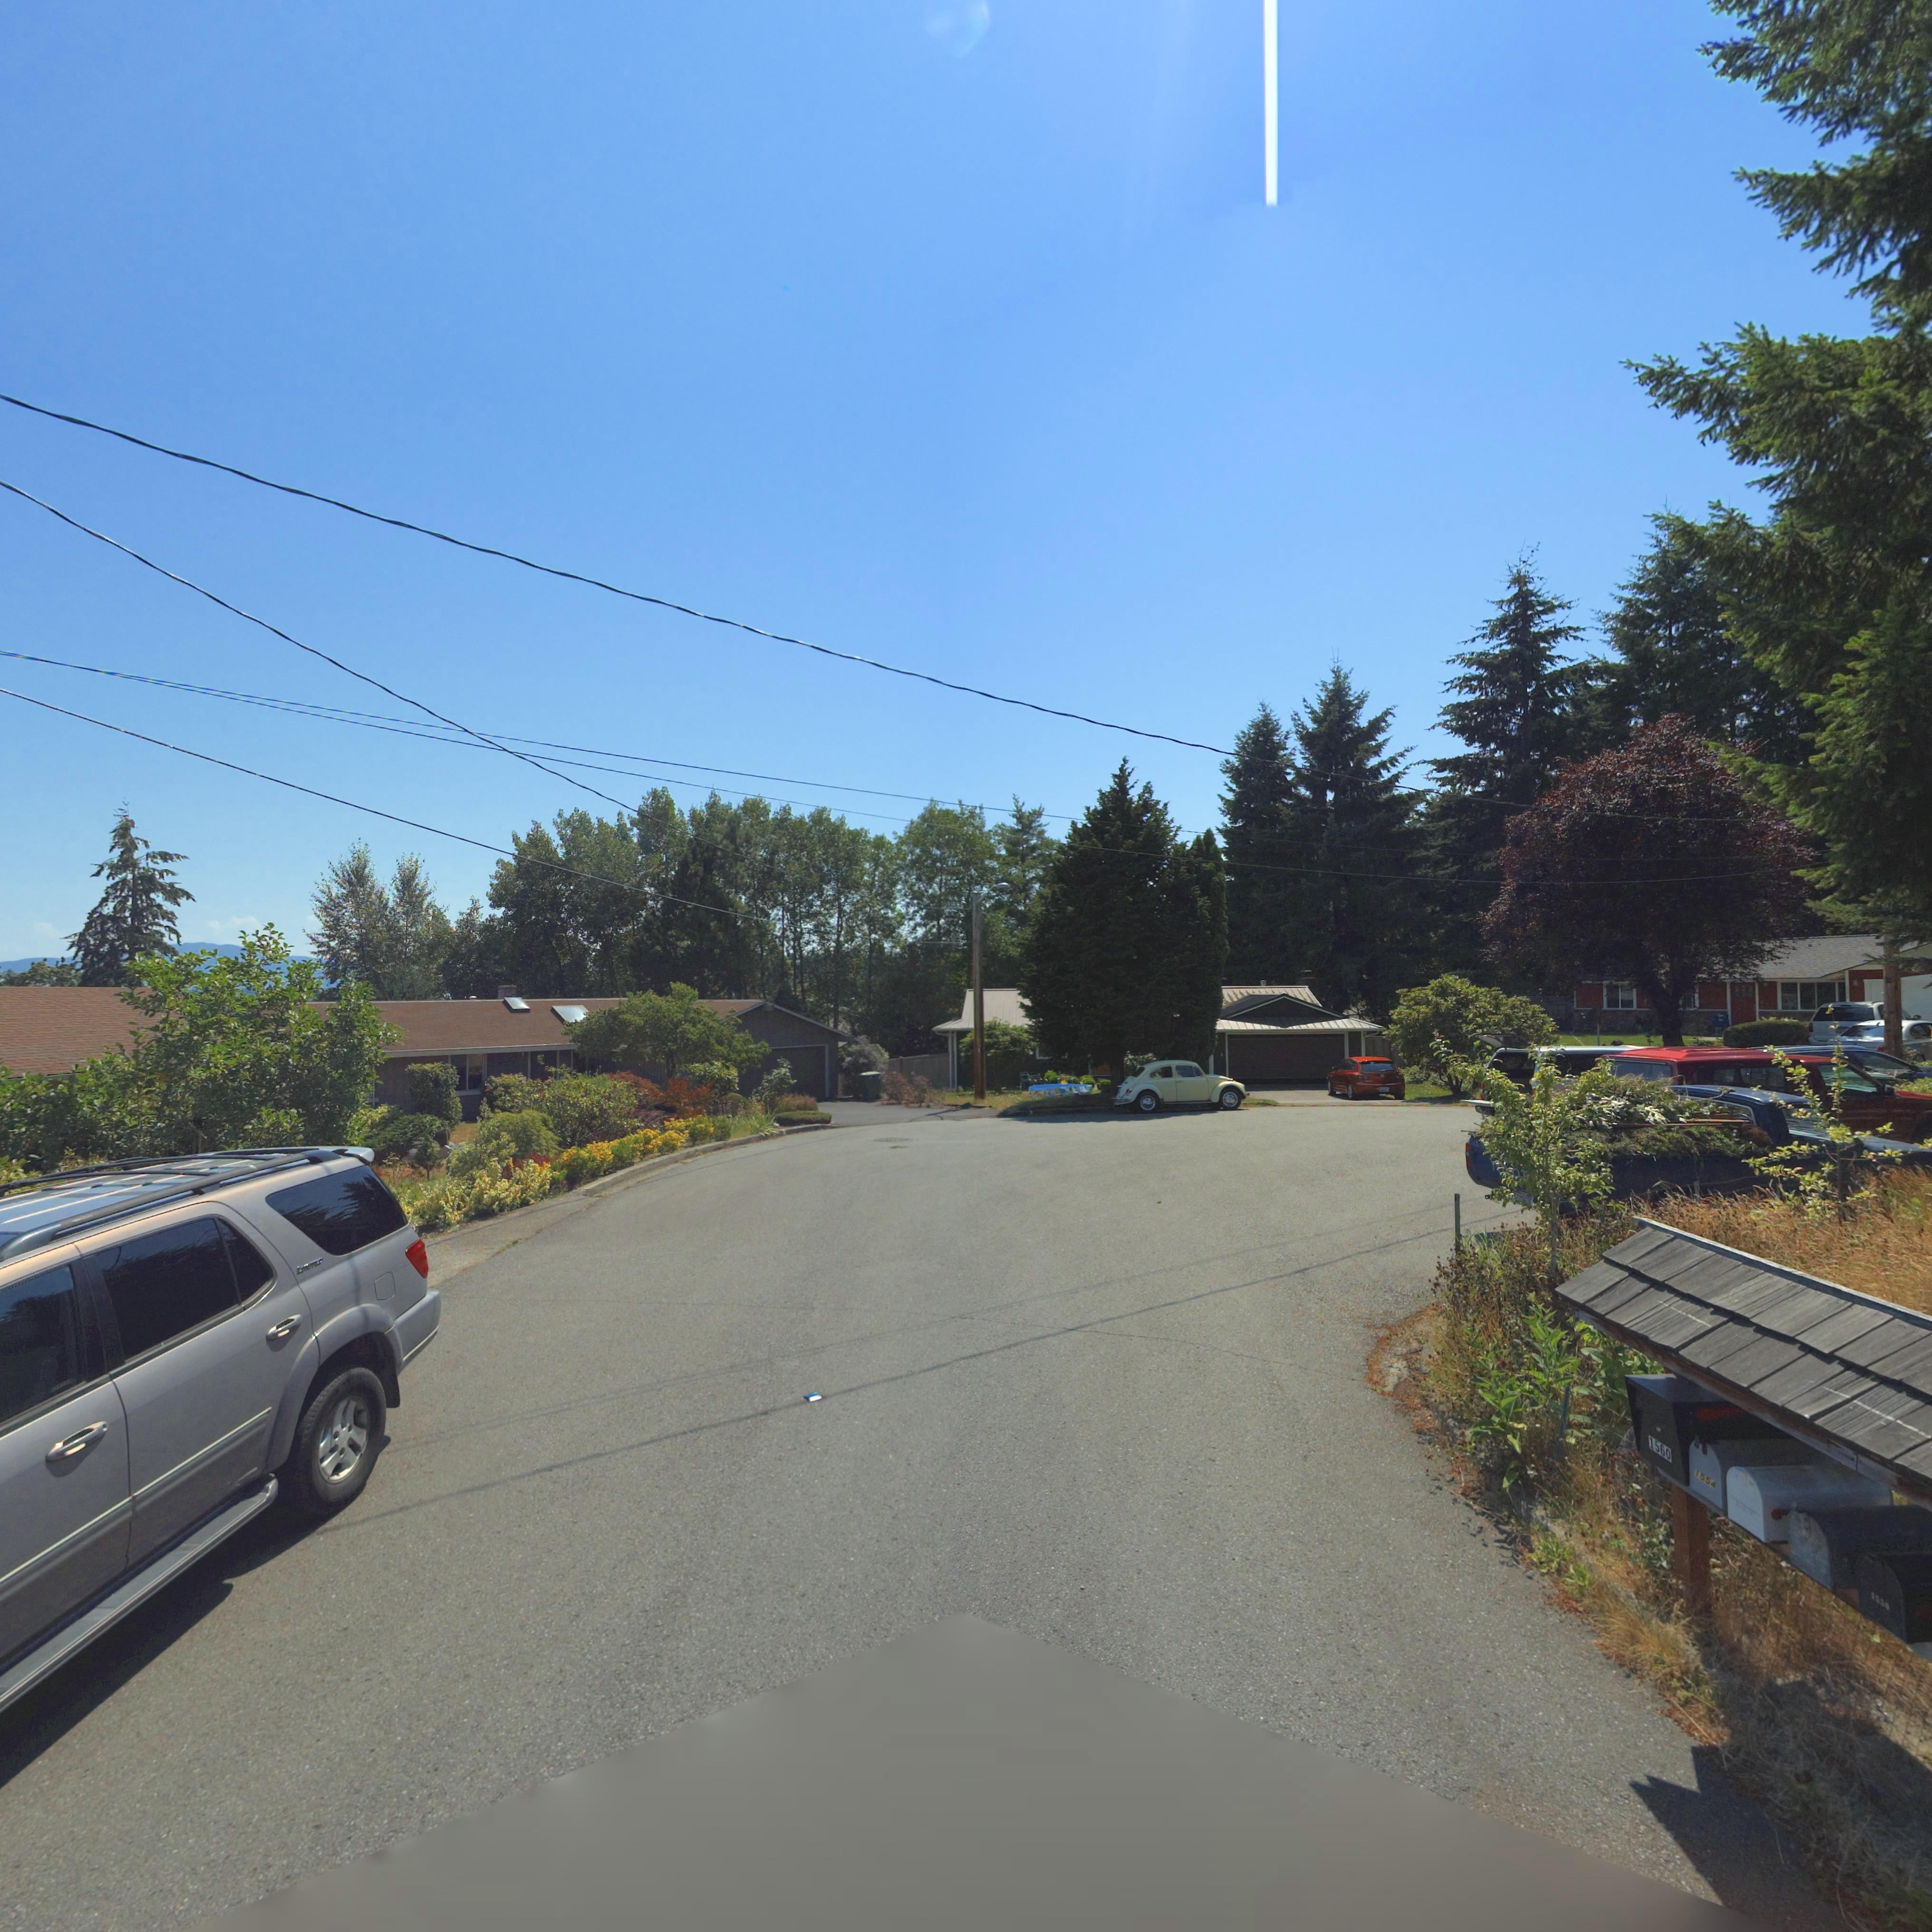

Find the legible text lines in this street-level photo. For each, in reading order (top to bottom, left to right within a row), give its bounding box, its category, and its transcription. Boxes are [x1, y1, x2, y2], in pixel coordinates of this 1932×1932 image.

[1649, 1436, 1671, 1460] StreetNumber: 1560
[1694, 1468, 1717, 1488] StreetNumber: 1554